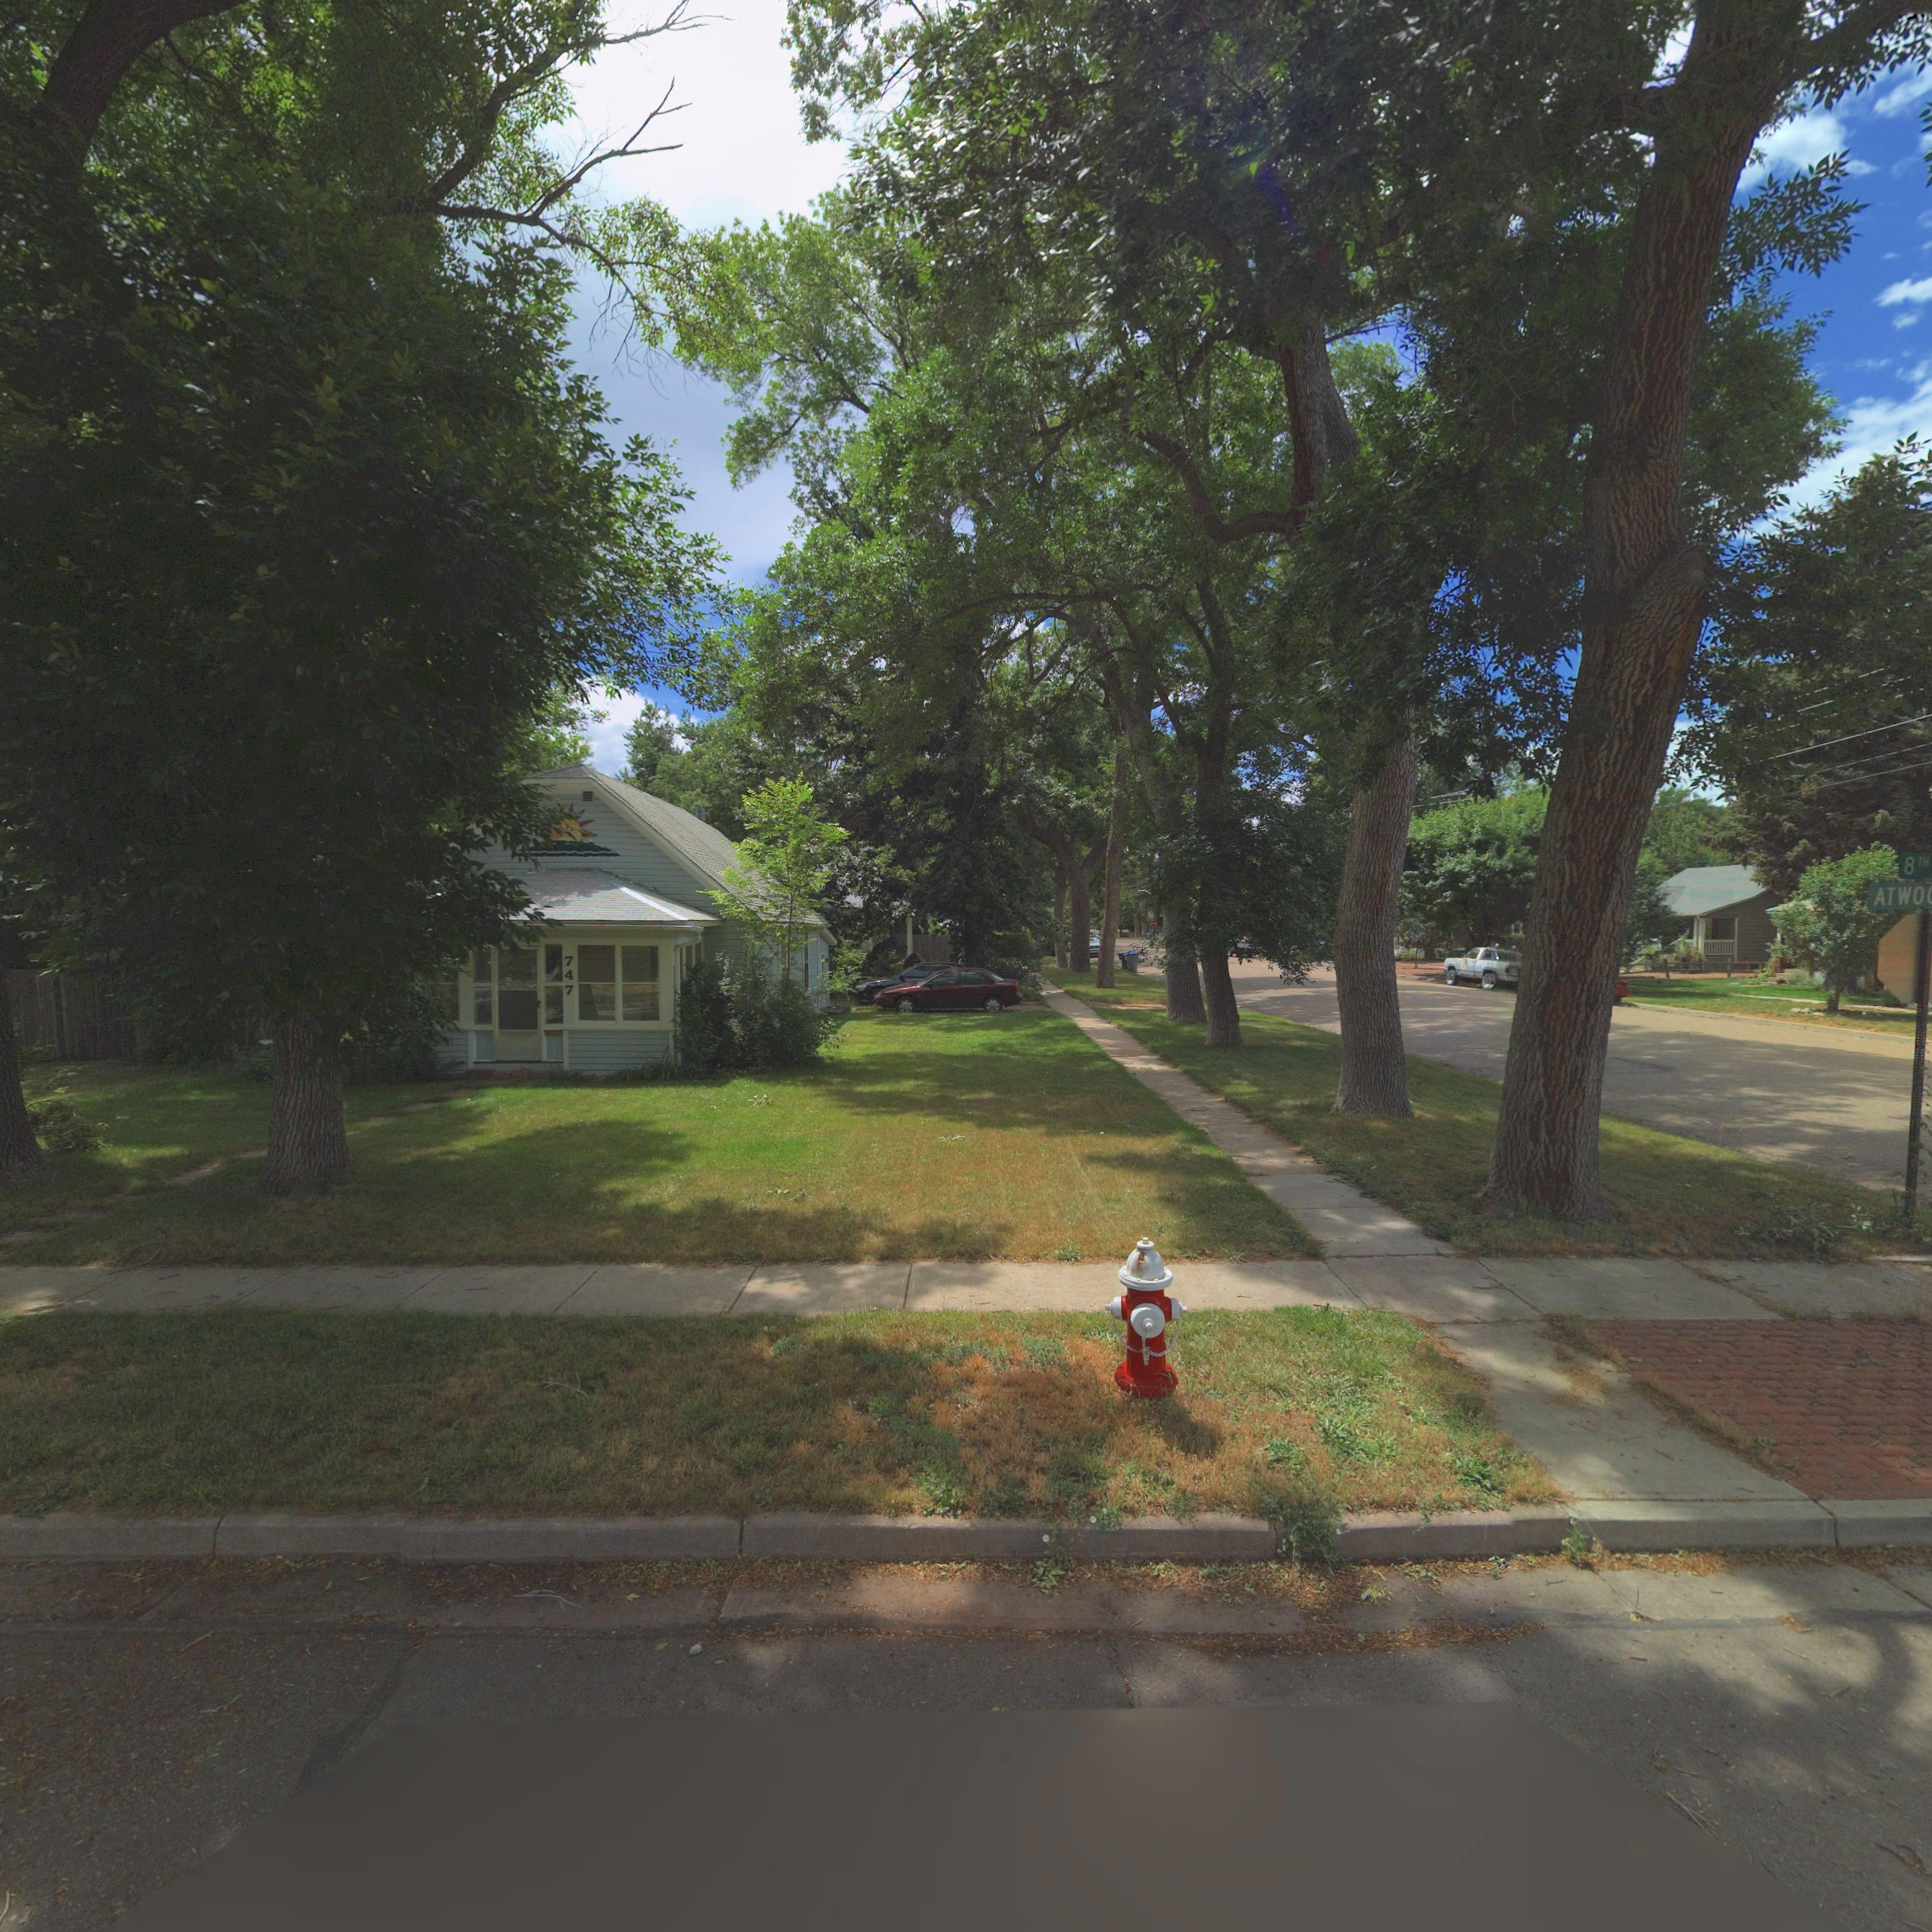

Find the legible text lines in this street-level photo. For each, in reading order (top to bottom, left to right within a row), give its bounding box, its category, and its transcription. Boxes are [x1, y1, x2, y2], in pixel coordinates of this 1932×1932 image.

[1902, 855, 1932, 877] StreetName: 8TH
[1872, 884, 1926, 907] StreetName: ATWO
[564, 956, 574, 995] StreetNumber: 747